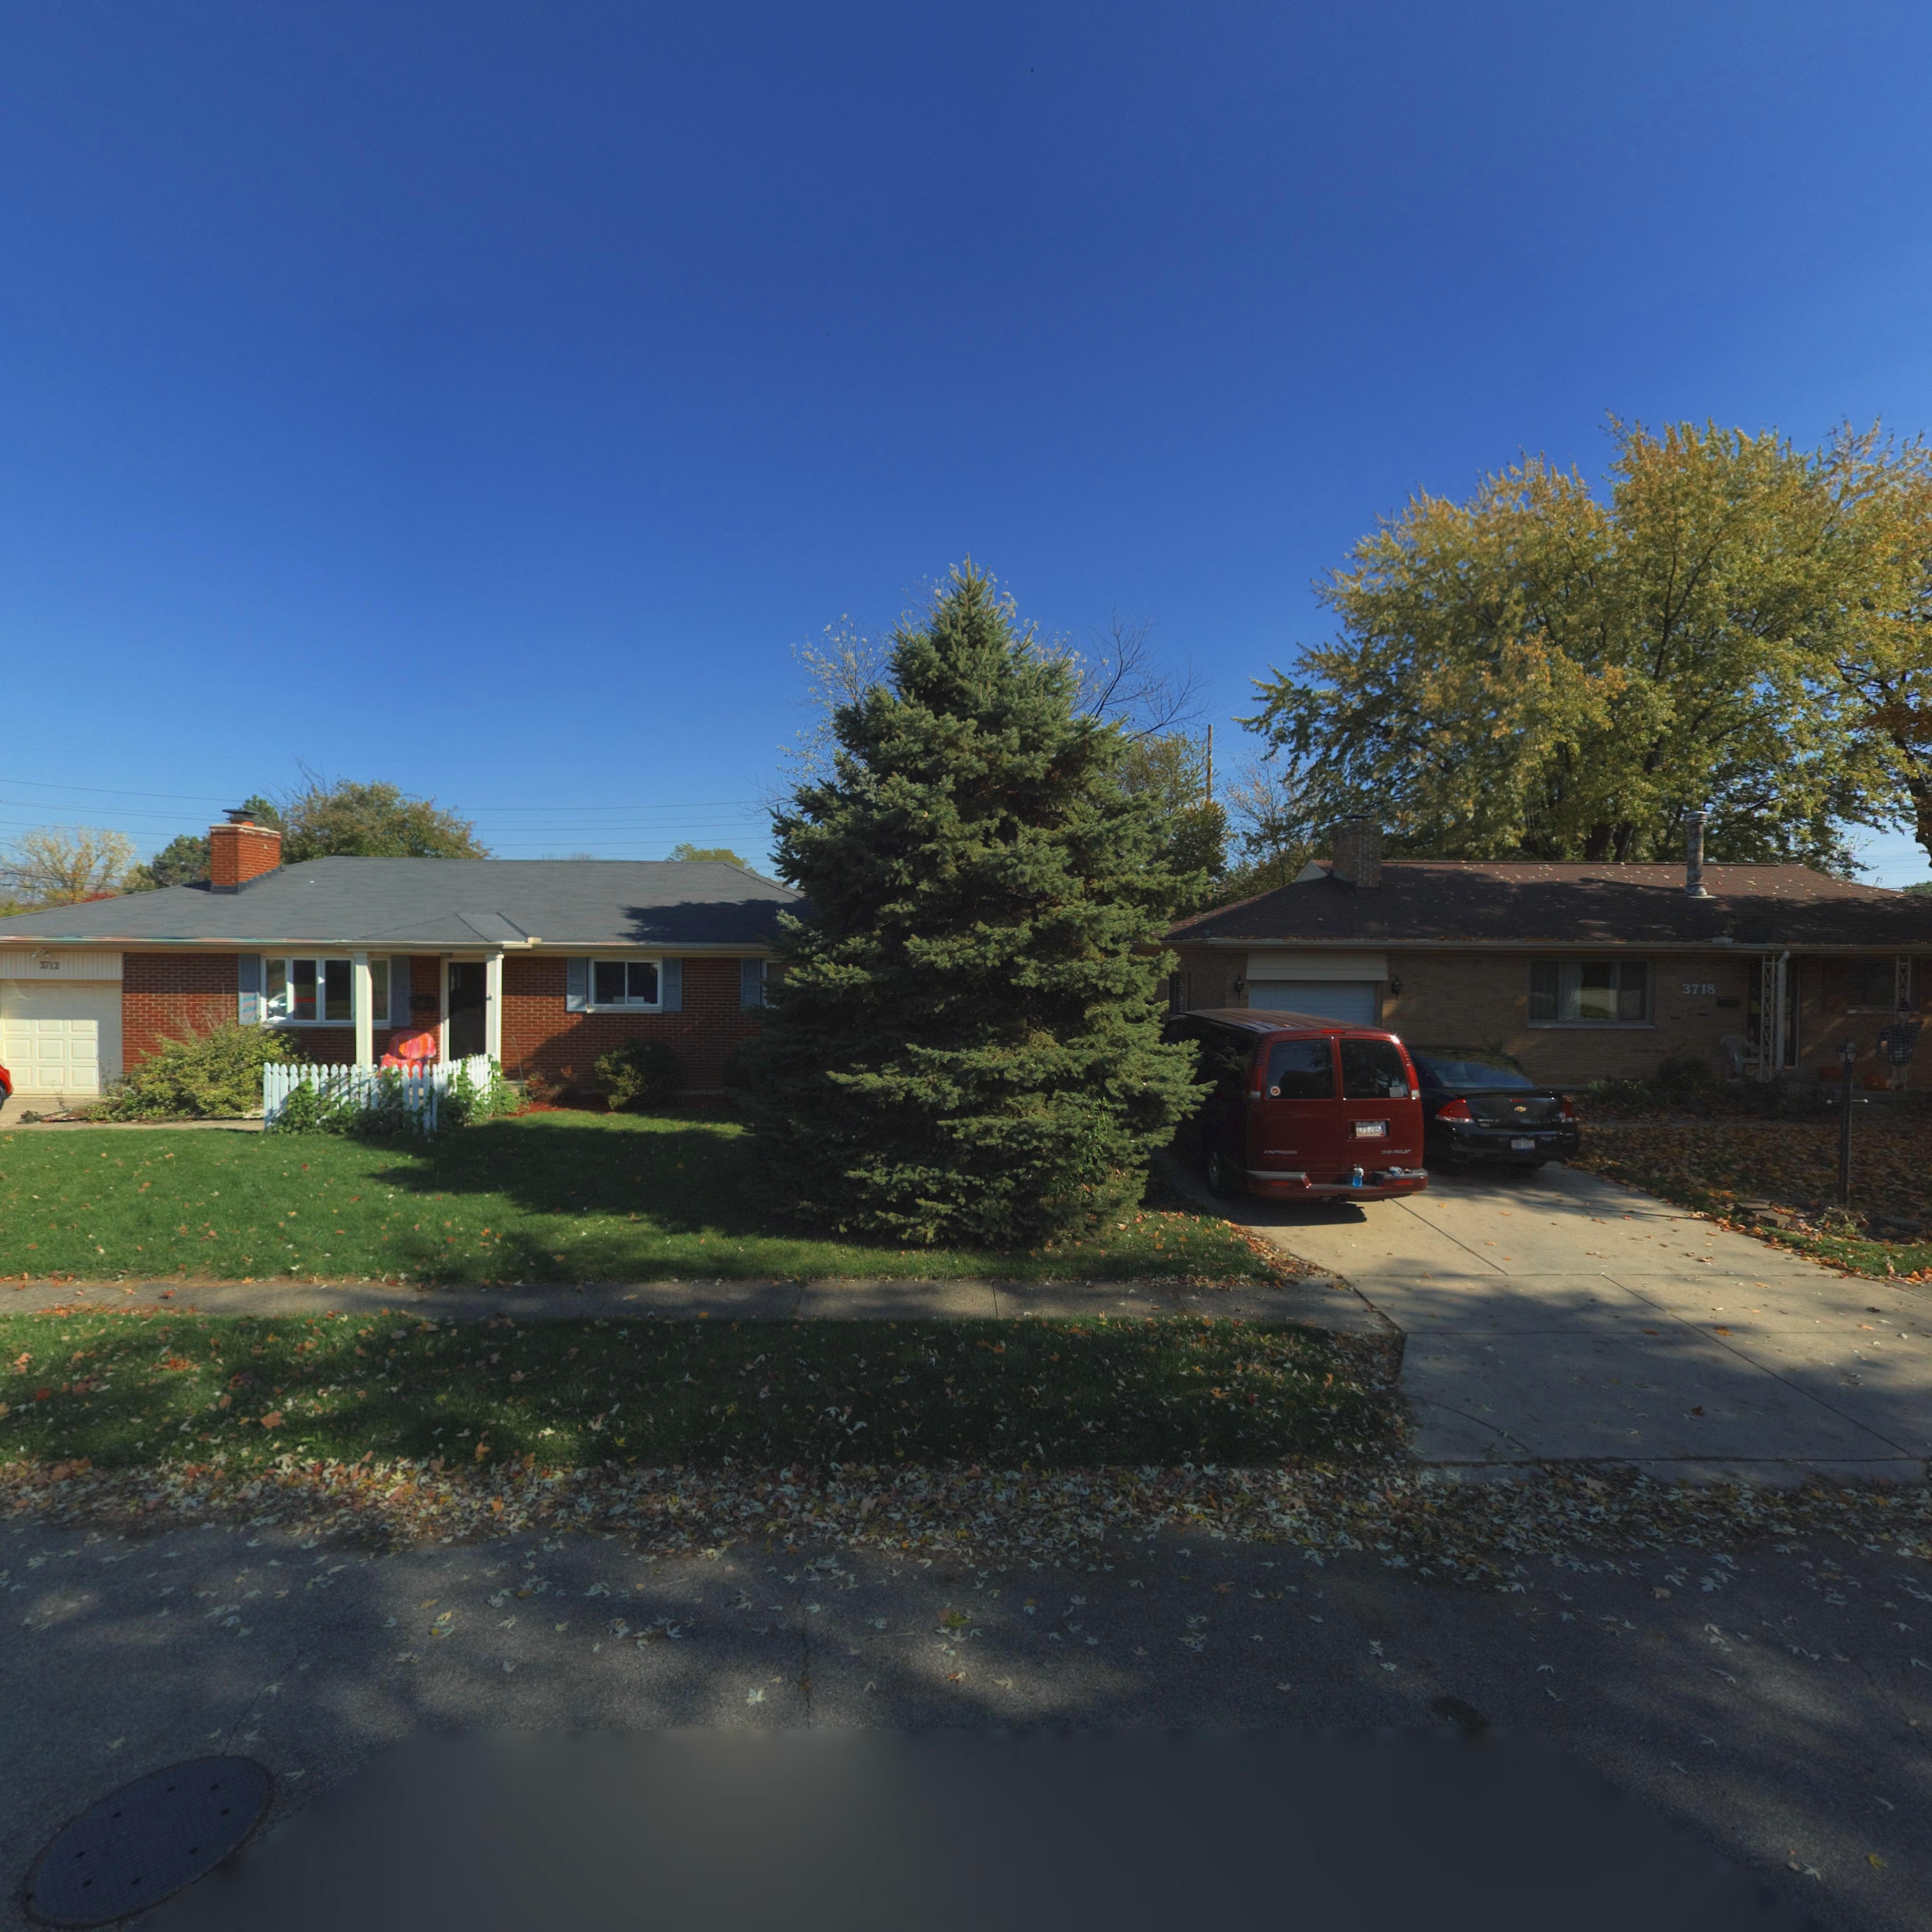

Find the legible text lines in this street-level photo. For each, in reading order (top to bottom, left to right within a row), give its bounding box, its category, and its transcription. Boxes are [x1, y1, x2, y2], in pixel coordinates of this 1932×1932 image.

[38, 960, 61, 971] StreetNumber: 3712
[1681, 983, 1717, 996] StreetNumber: 3718